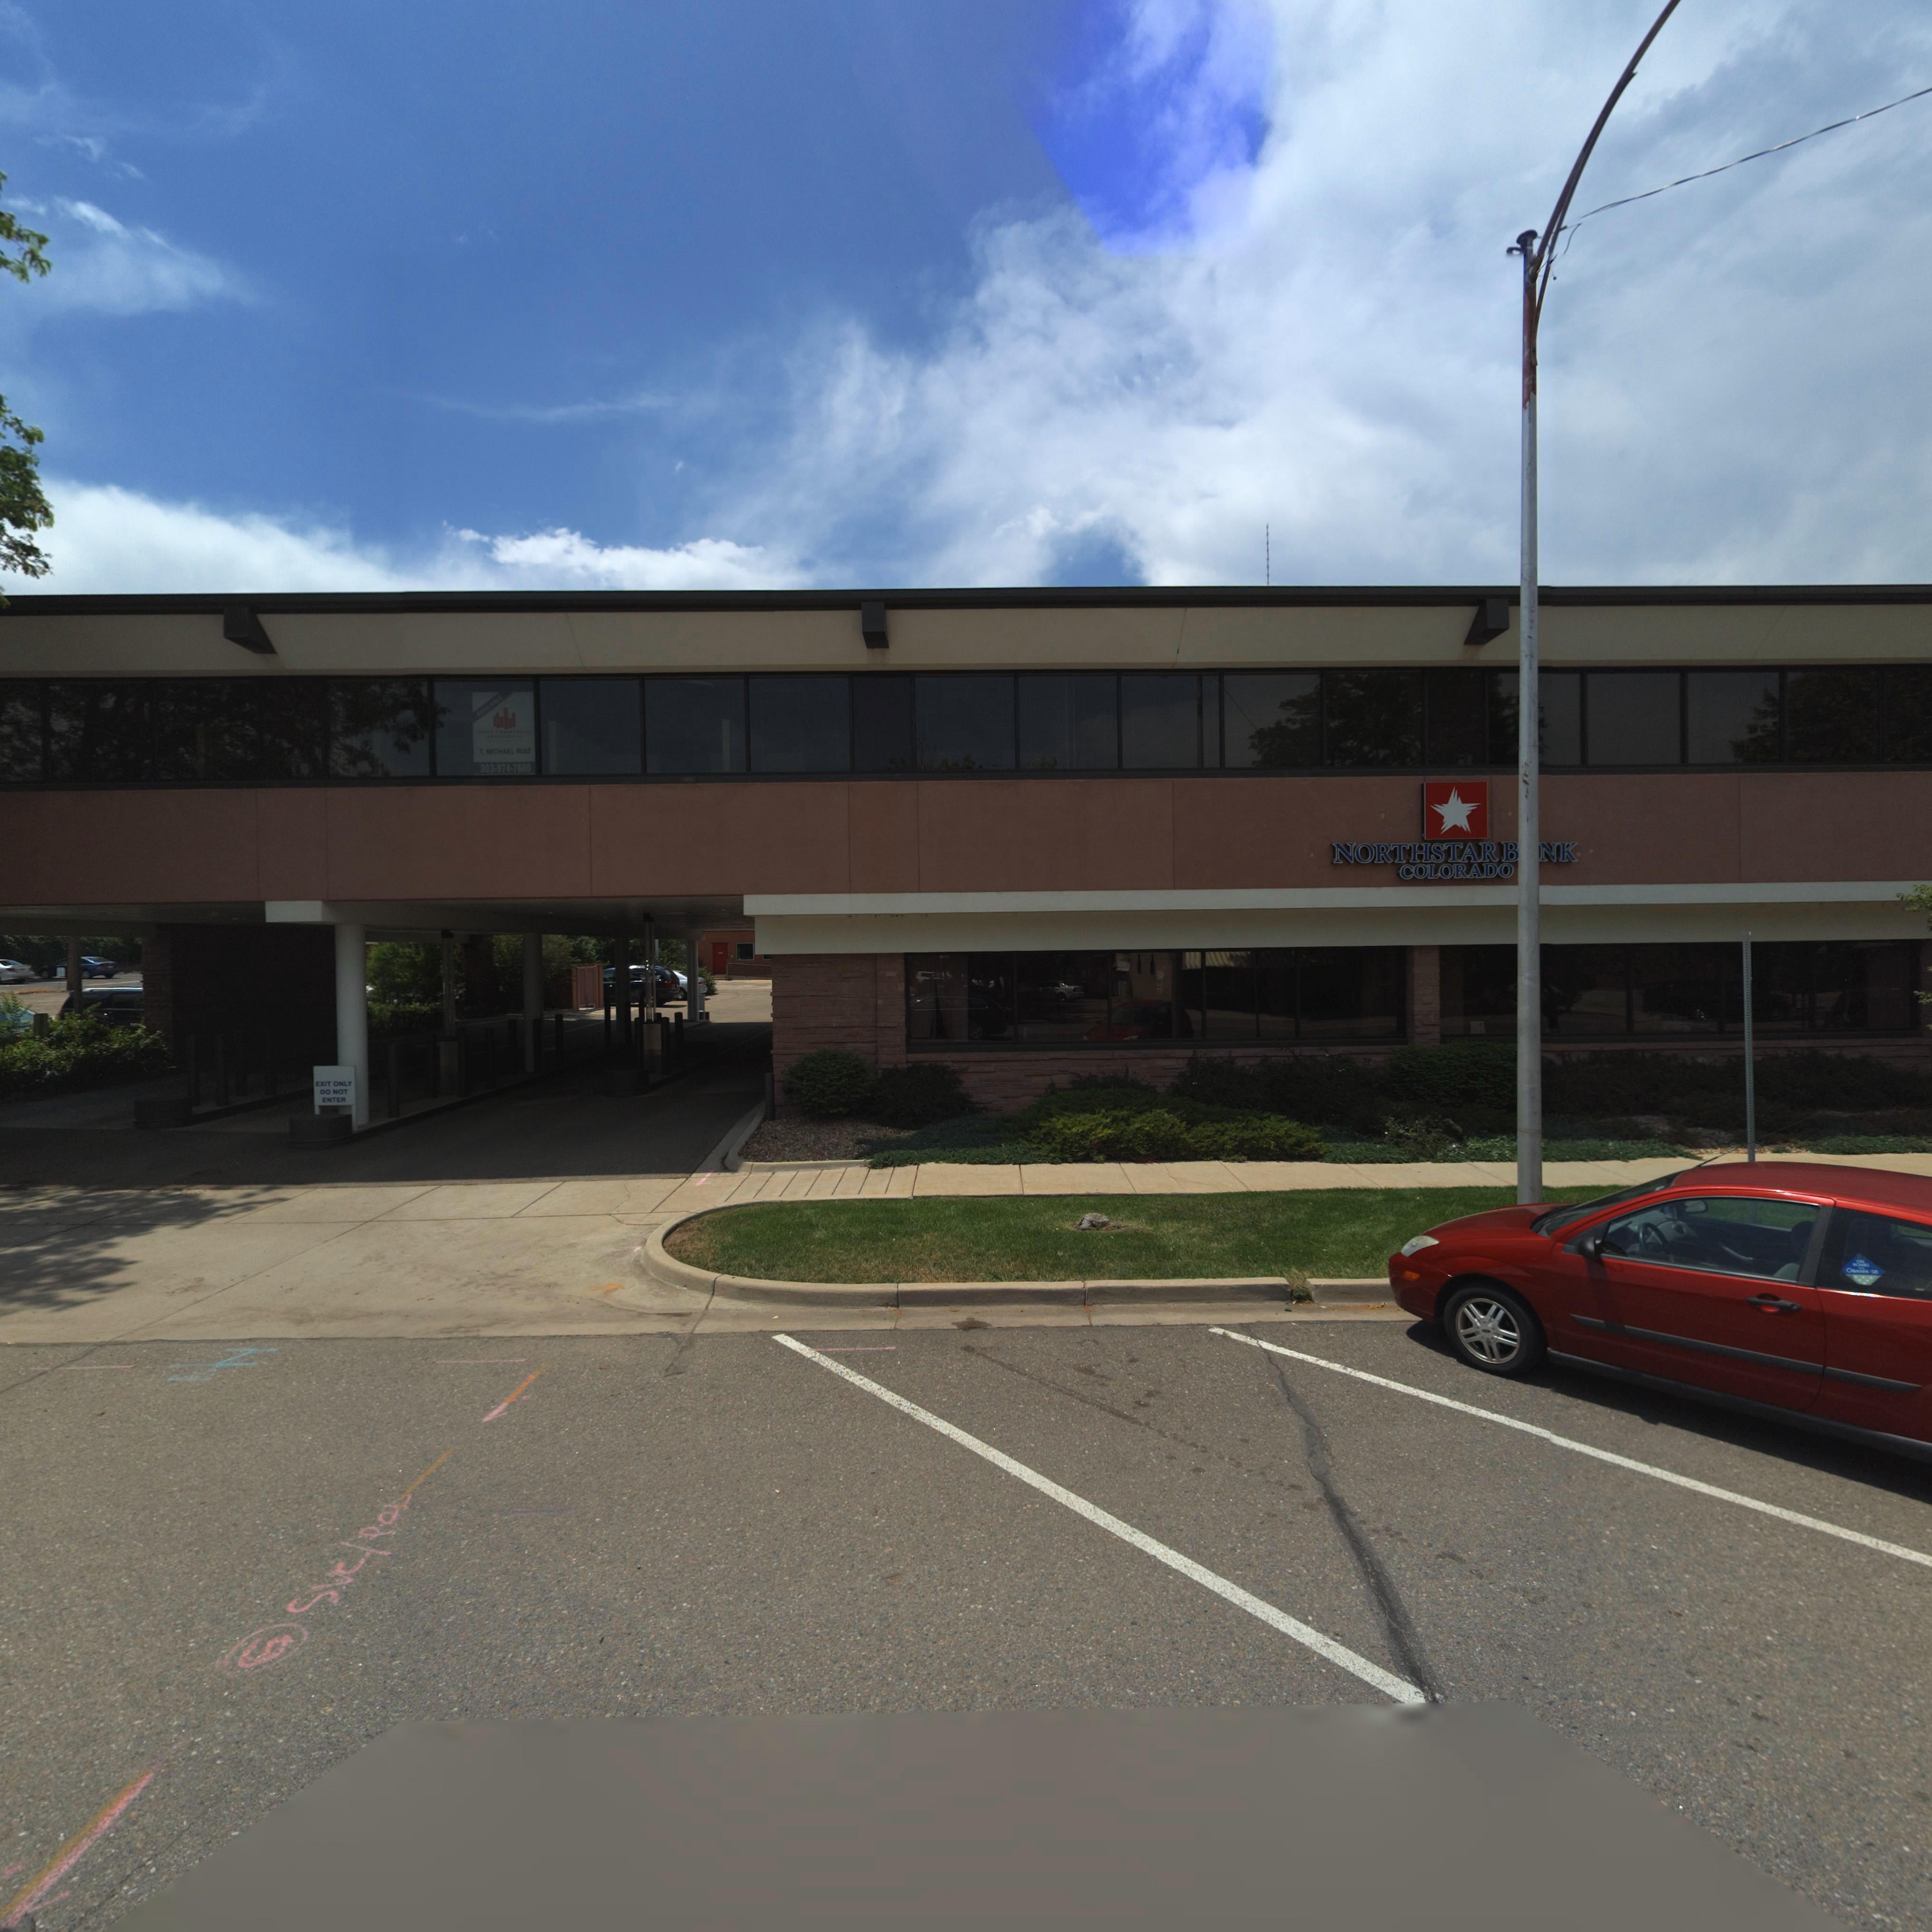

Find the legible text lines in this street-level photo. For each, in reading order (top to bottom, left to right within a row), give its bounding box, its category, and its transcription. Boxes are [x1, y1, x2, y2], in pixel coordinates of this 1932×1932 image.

[1332, 840, 1579, 863] BusinessName: NORTHSTAR B*NK
[1398, 862, 1515, 881] BusinessName: COLORADO